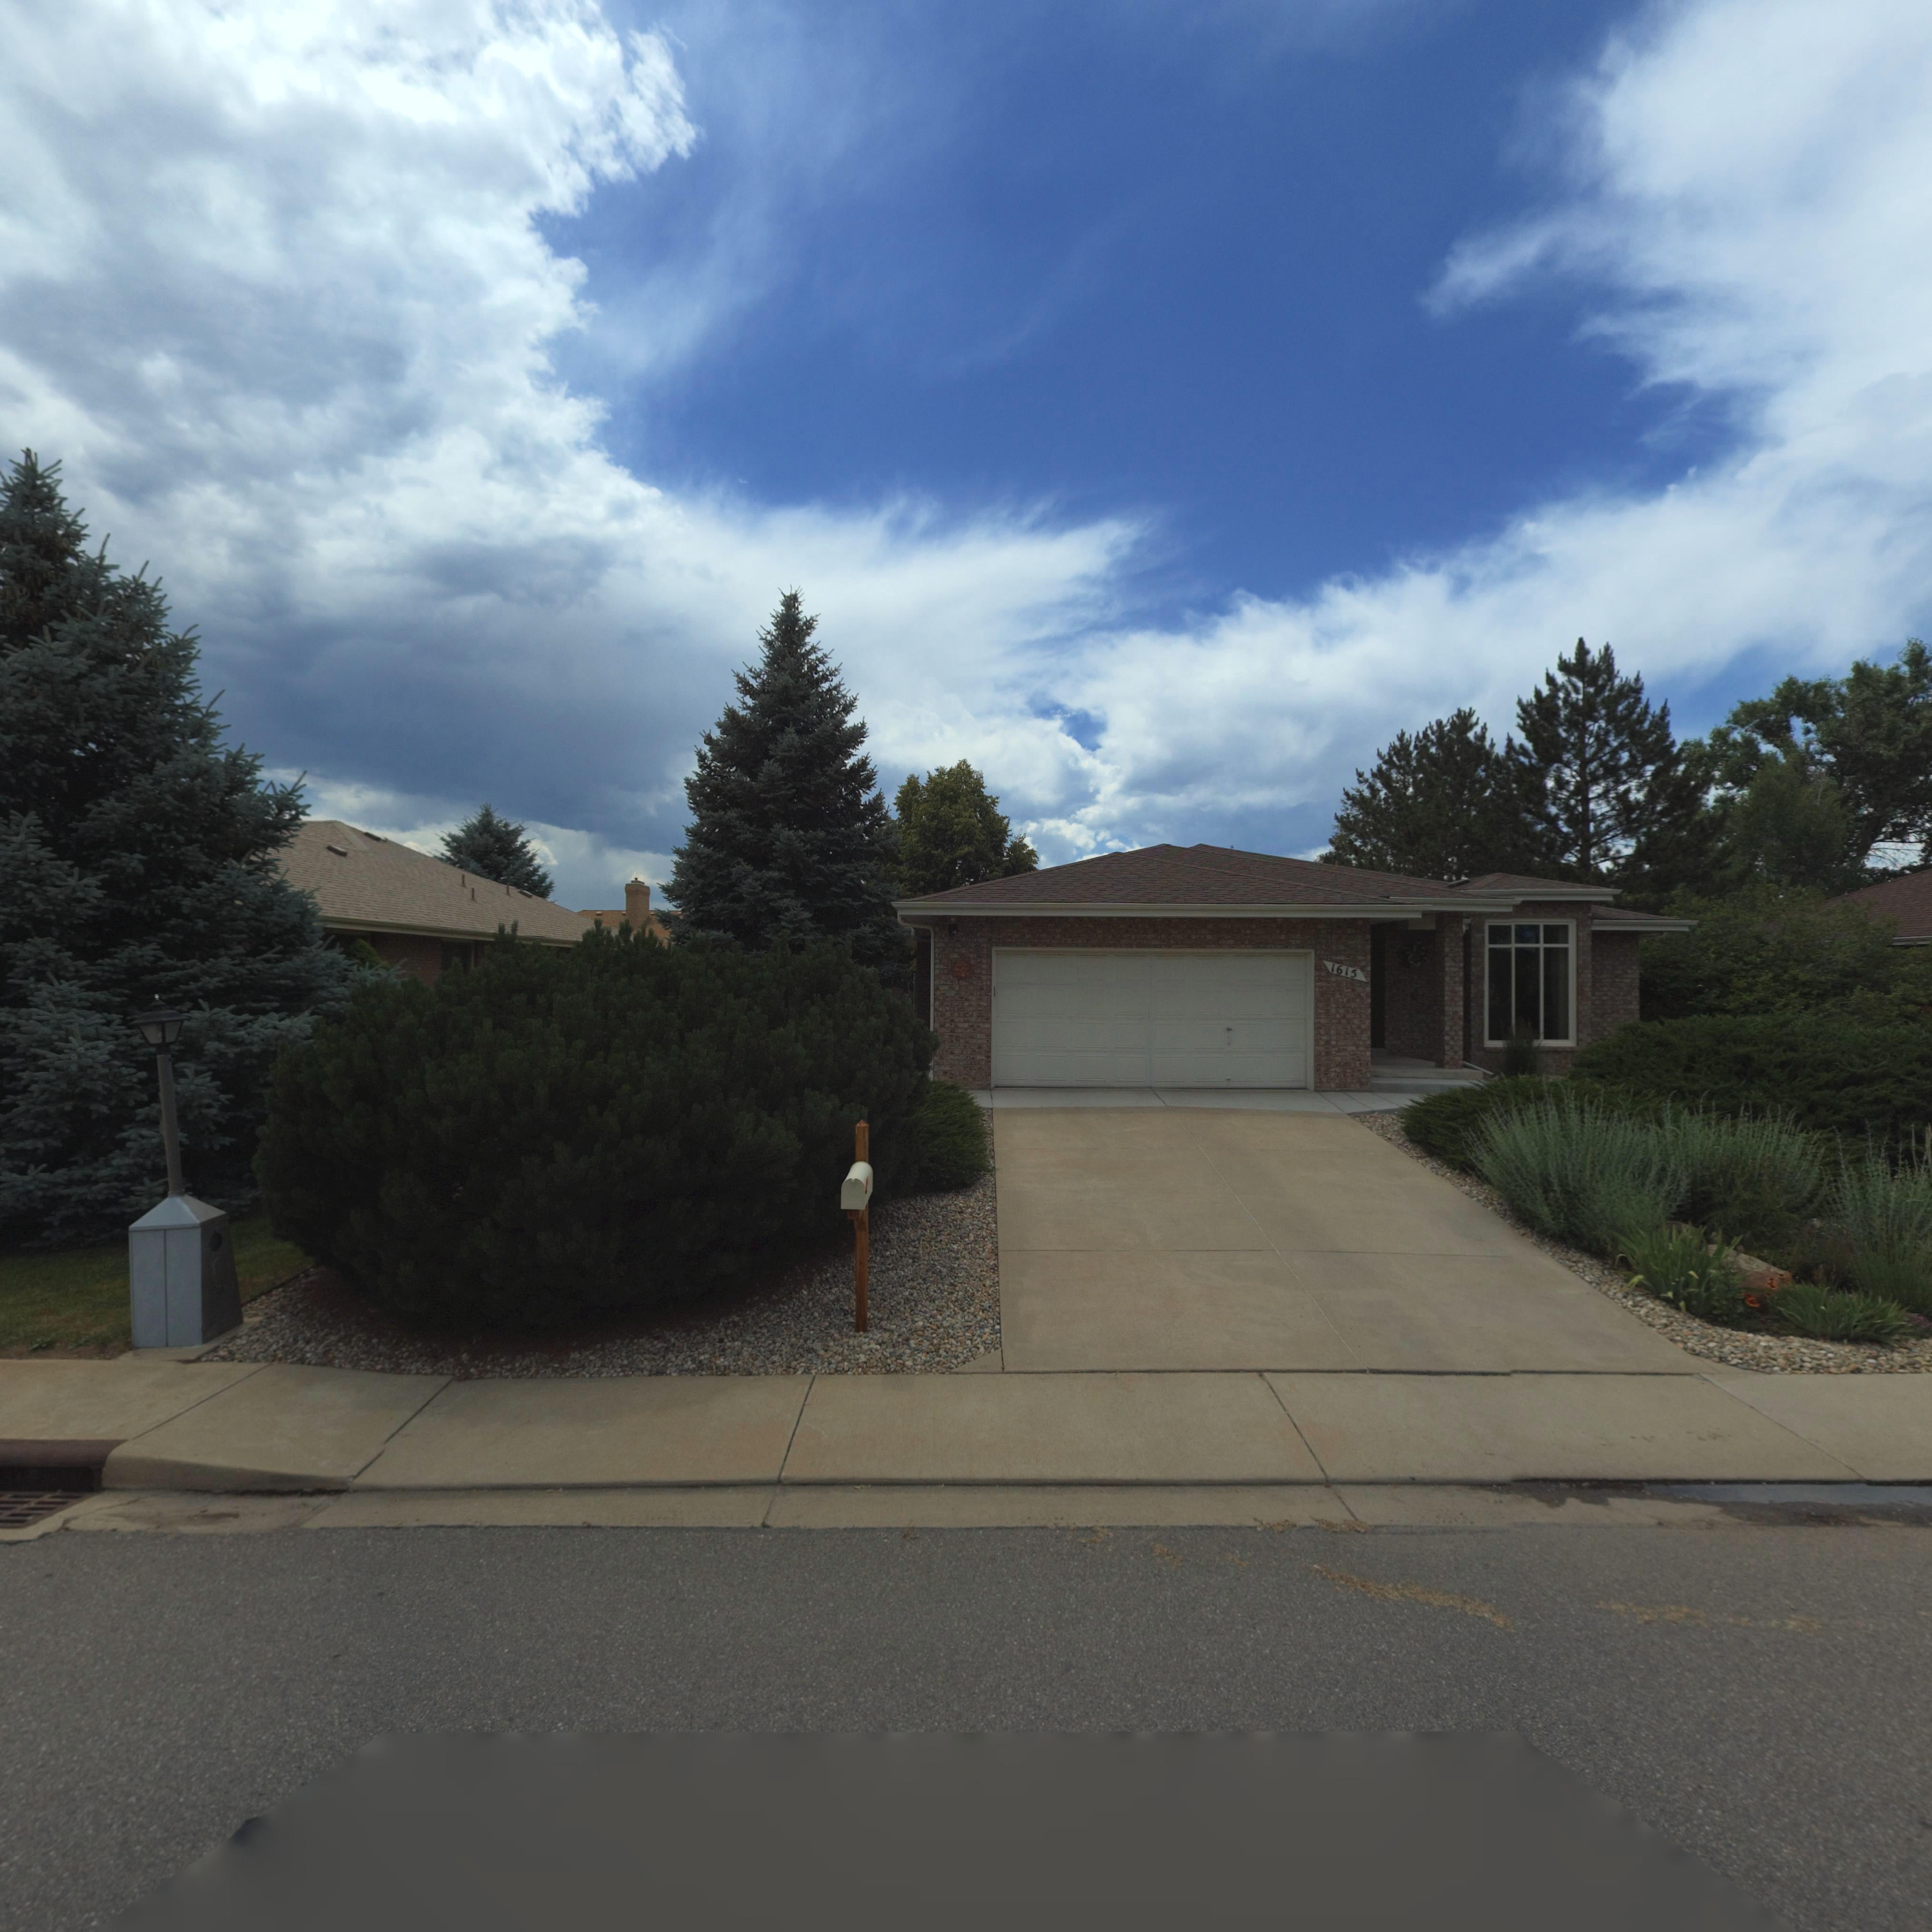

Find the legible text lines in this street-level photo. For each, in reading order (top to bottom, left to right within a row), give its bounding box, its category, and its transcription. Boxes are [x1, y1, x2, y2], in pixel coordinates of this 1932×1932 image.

[1331, 963, 1357, 978] StreetNumber: 1615